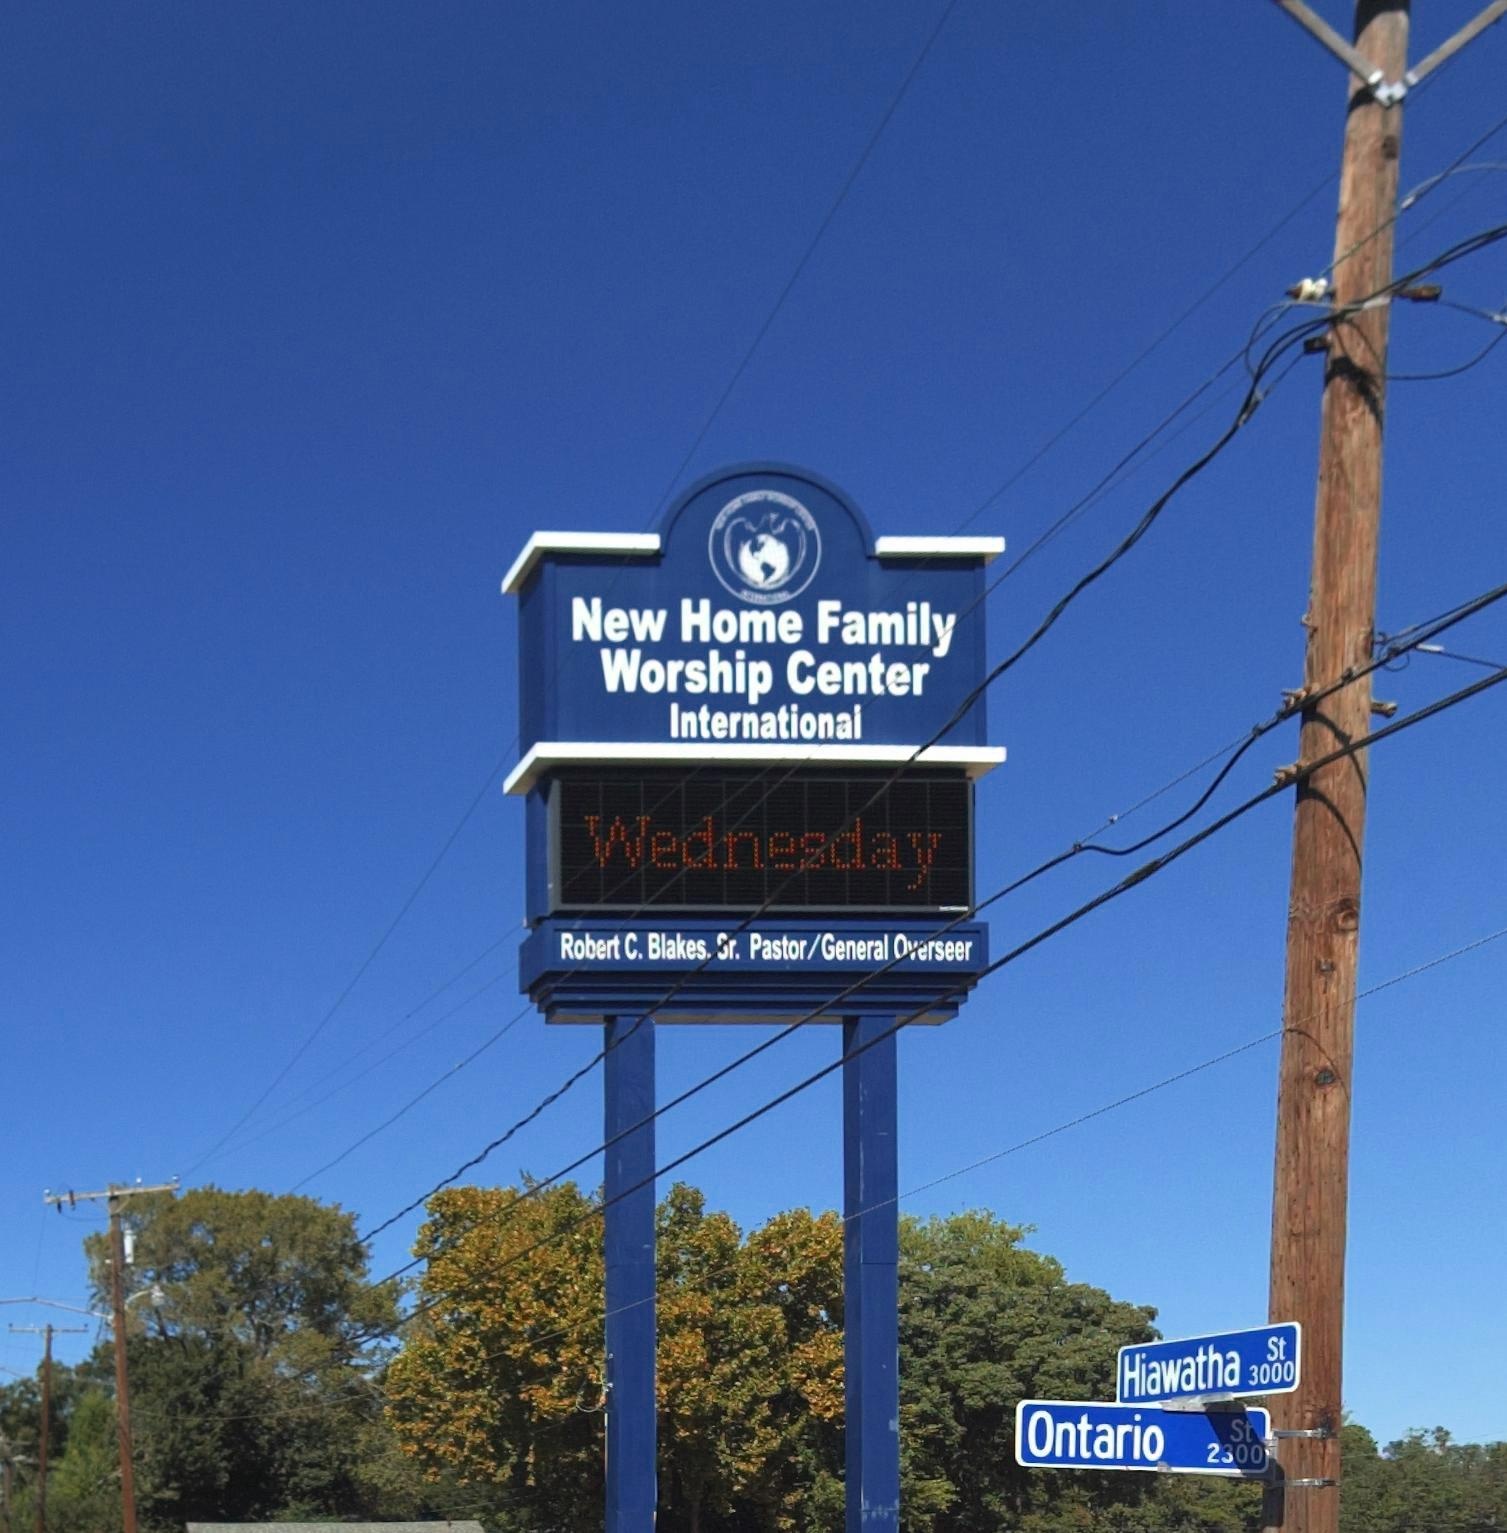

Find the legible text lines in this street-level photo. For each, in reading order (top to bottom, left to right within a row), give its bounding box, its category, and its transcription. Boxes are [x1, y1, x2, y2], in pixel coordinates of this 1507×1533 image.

[568, 593, 964, 662] BusinessName: New Home Family
[593, 645, 937, 710] BusinessName: Worship Center
[666, 698, 867, 744] BusinessName: International
[580, 811, 949, 896] None: Wendnesday
[555, 927, 978, 966] None: Robert C. Blakes. Sr. Pastor/General ***rseer
[1119, 1331, 1290, 1402] StreetName: Hiawatha St
[1245, 1358, 1297, 1390] StreetNumber: 3000
[1024, 1405, 1256, 1465] StreetName: Ontario St
[1204, 1439, 1267, 1467] StreetNumber: 2300